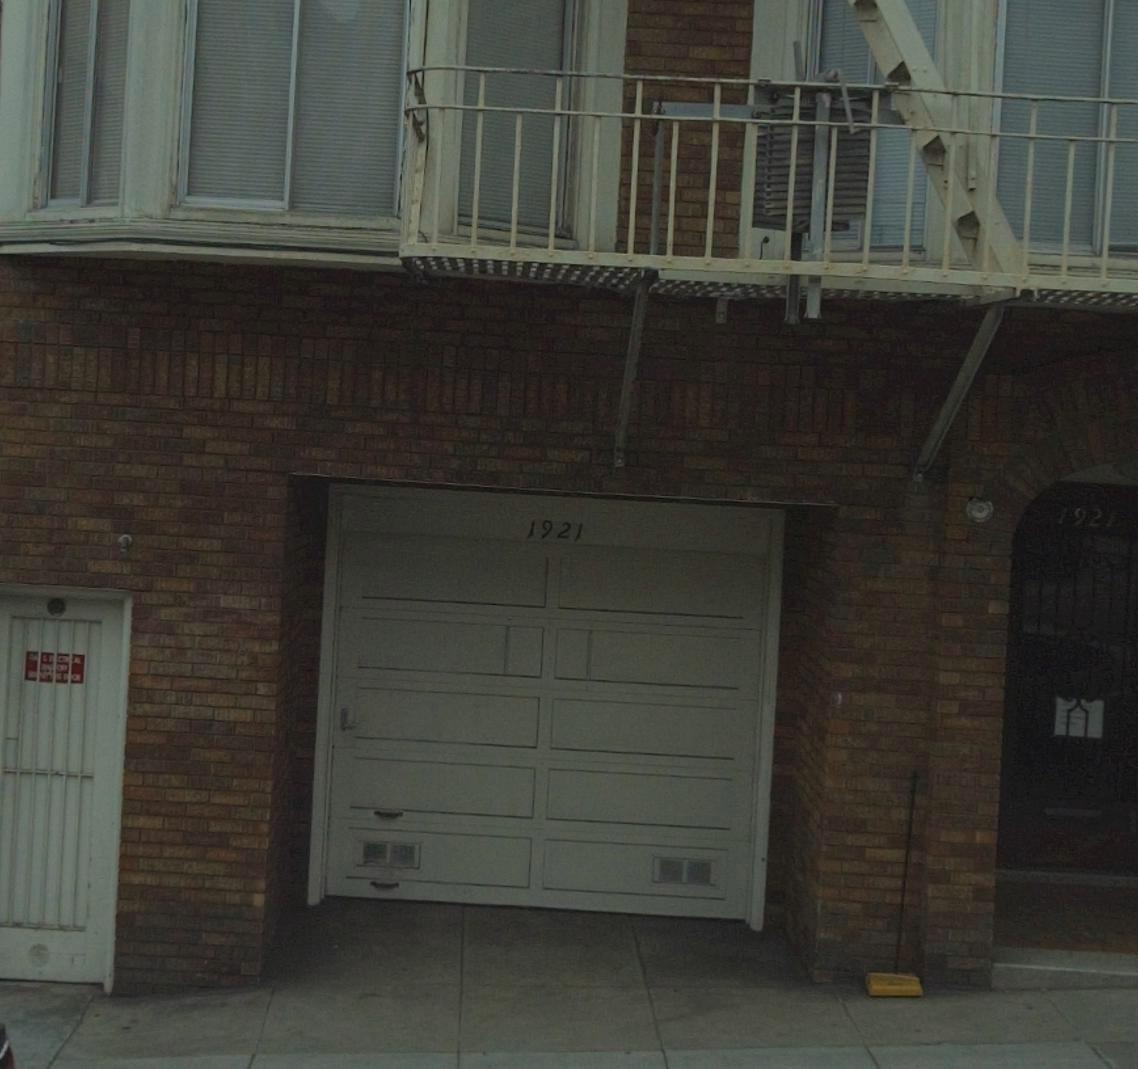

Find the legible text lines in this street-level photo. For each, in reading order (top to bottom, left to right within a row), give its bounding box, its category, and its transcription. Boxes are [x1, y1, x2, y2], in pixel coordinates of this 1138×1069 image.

[525, 516, 584, 543] StreetNumber: 1921
[1055, 503, 1121, 530] StreetNumber: 1921